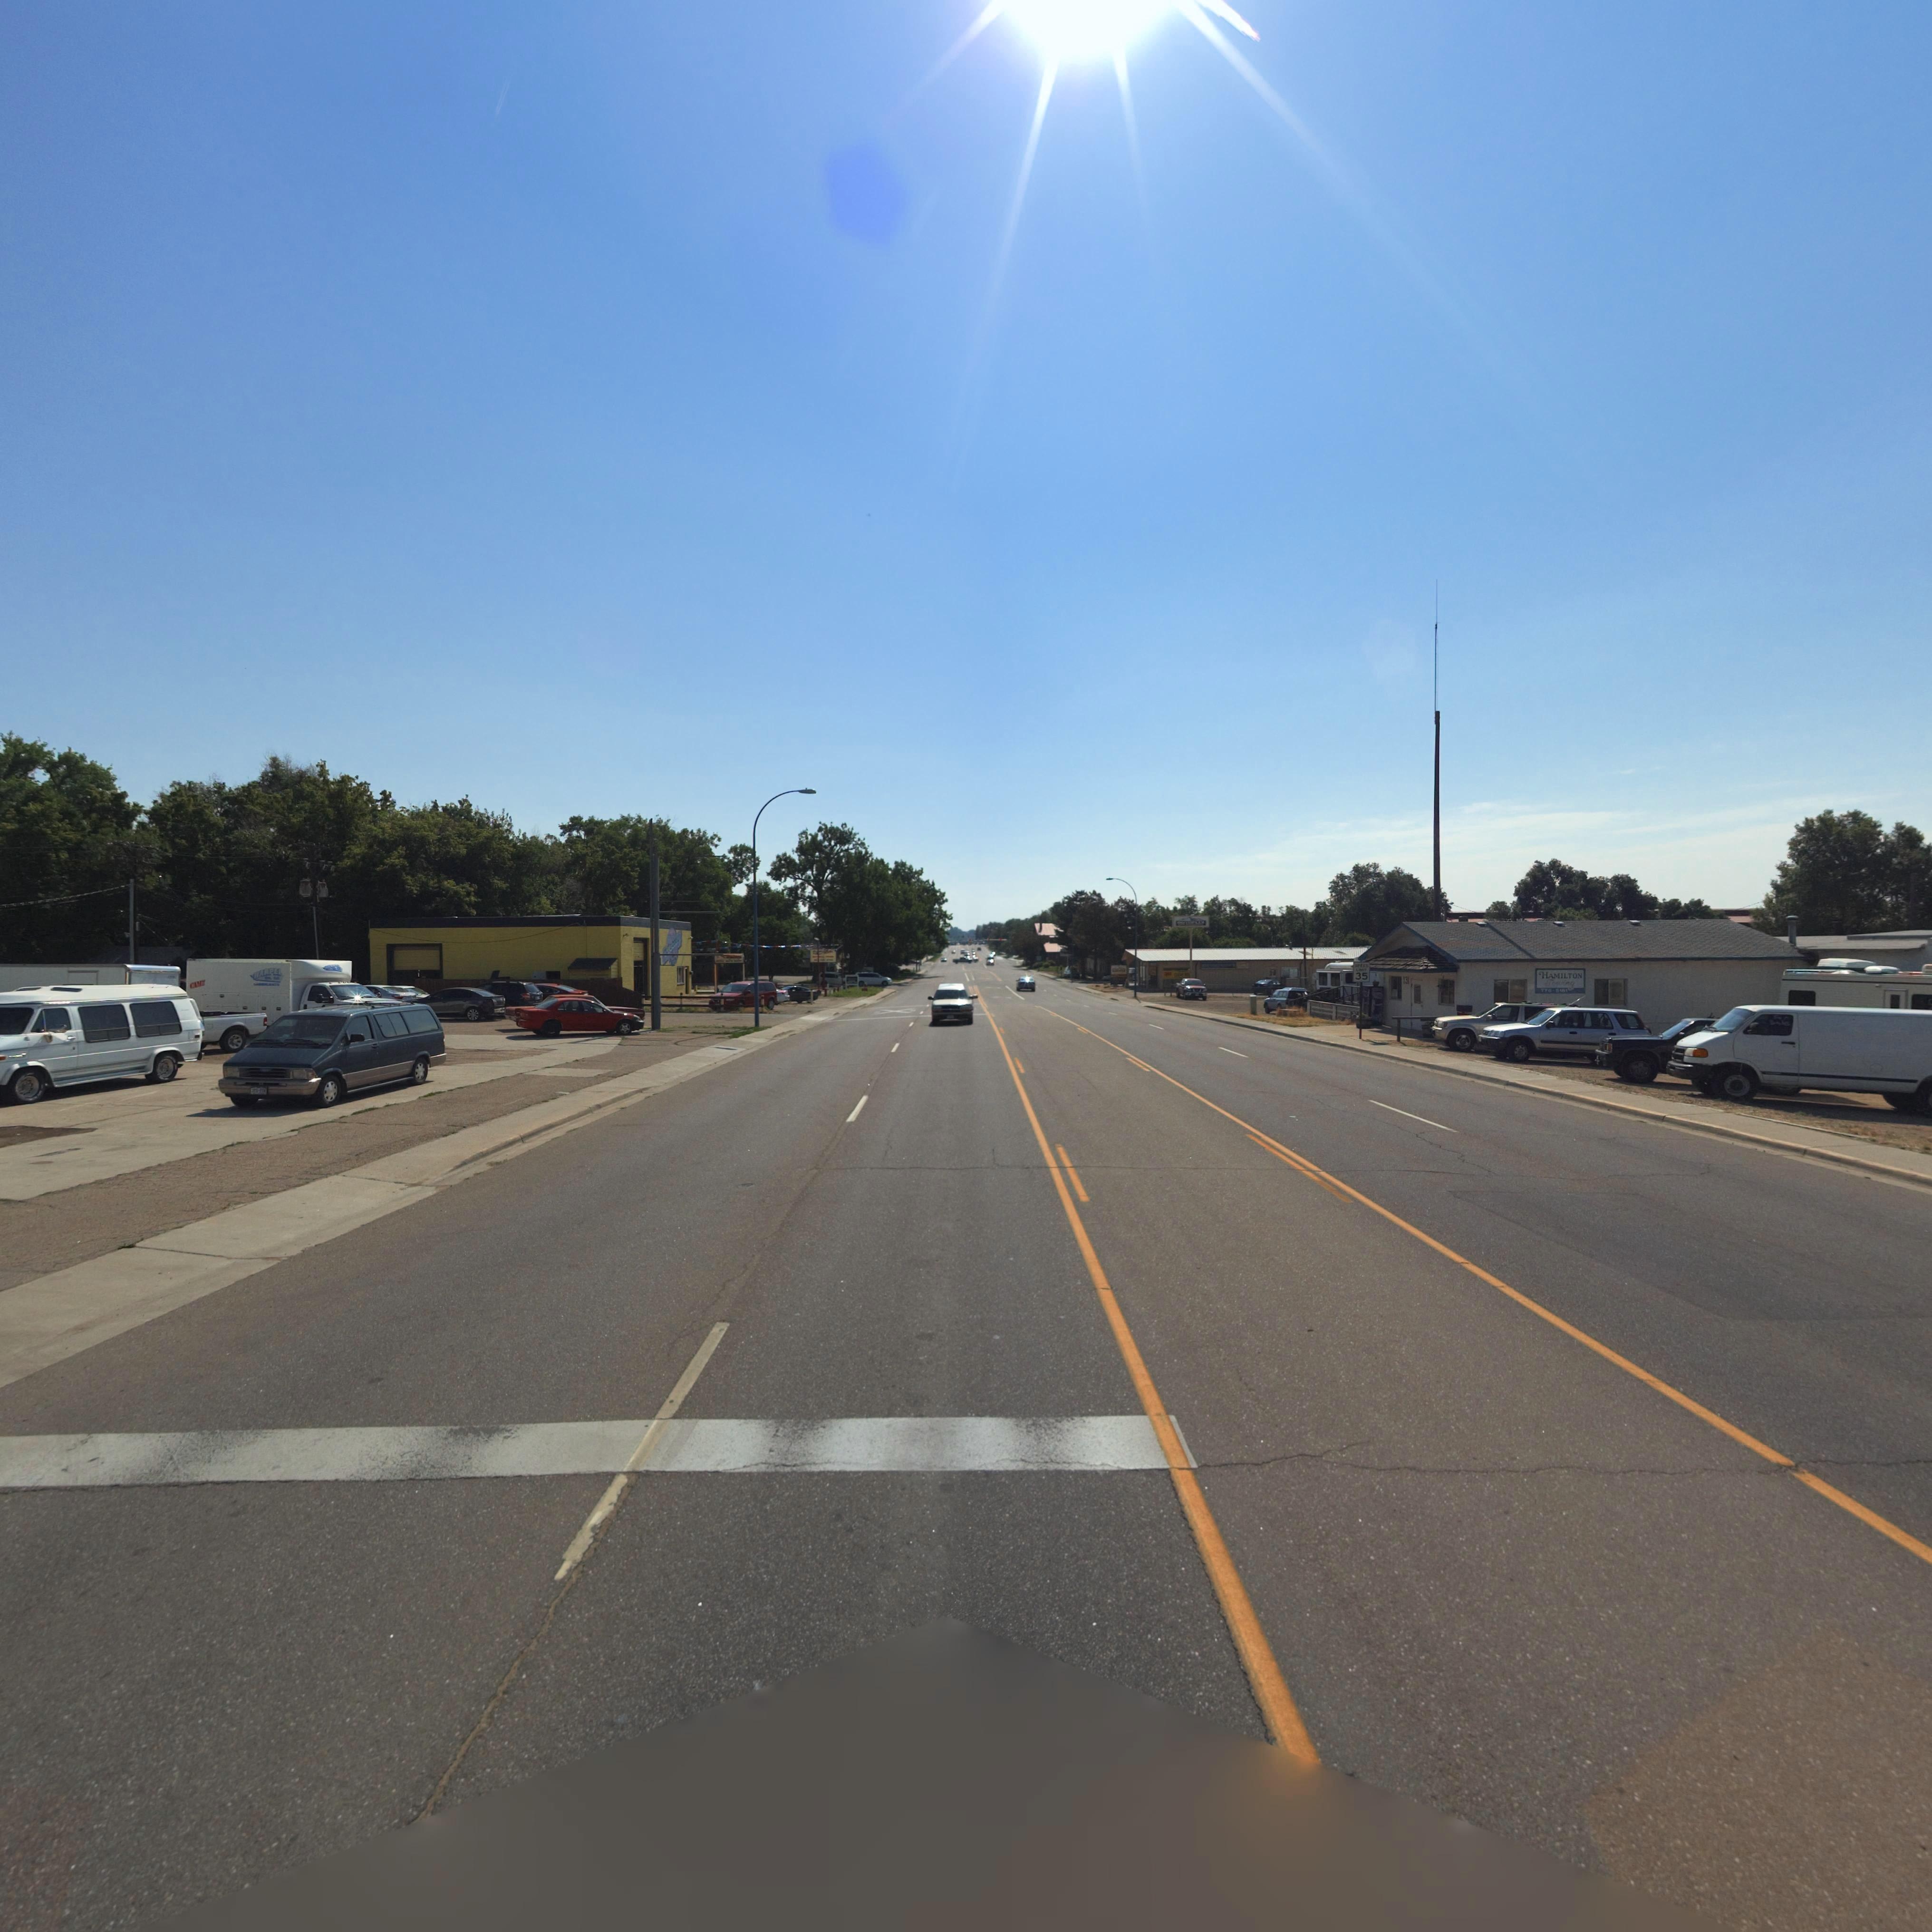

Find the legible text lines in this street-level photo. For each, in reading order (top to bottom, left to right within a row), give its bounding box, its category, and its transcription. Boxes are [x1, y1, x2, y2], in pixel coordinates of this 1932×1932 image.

[1538, 970, 1582, 979] BusinessName: HAMILTON
[1403, 976, 1410, 985] StreetNumber: 131
[1545, 978, 1575, 991] BusinessName: Towing